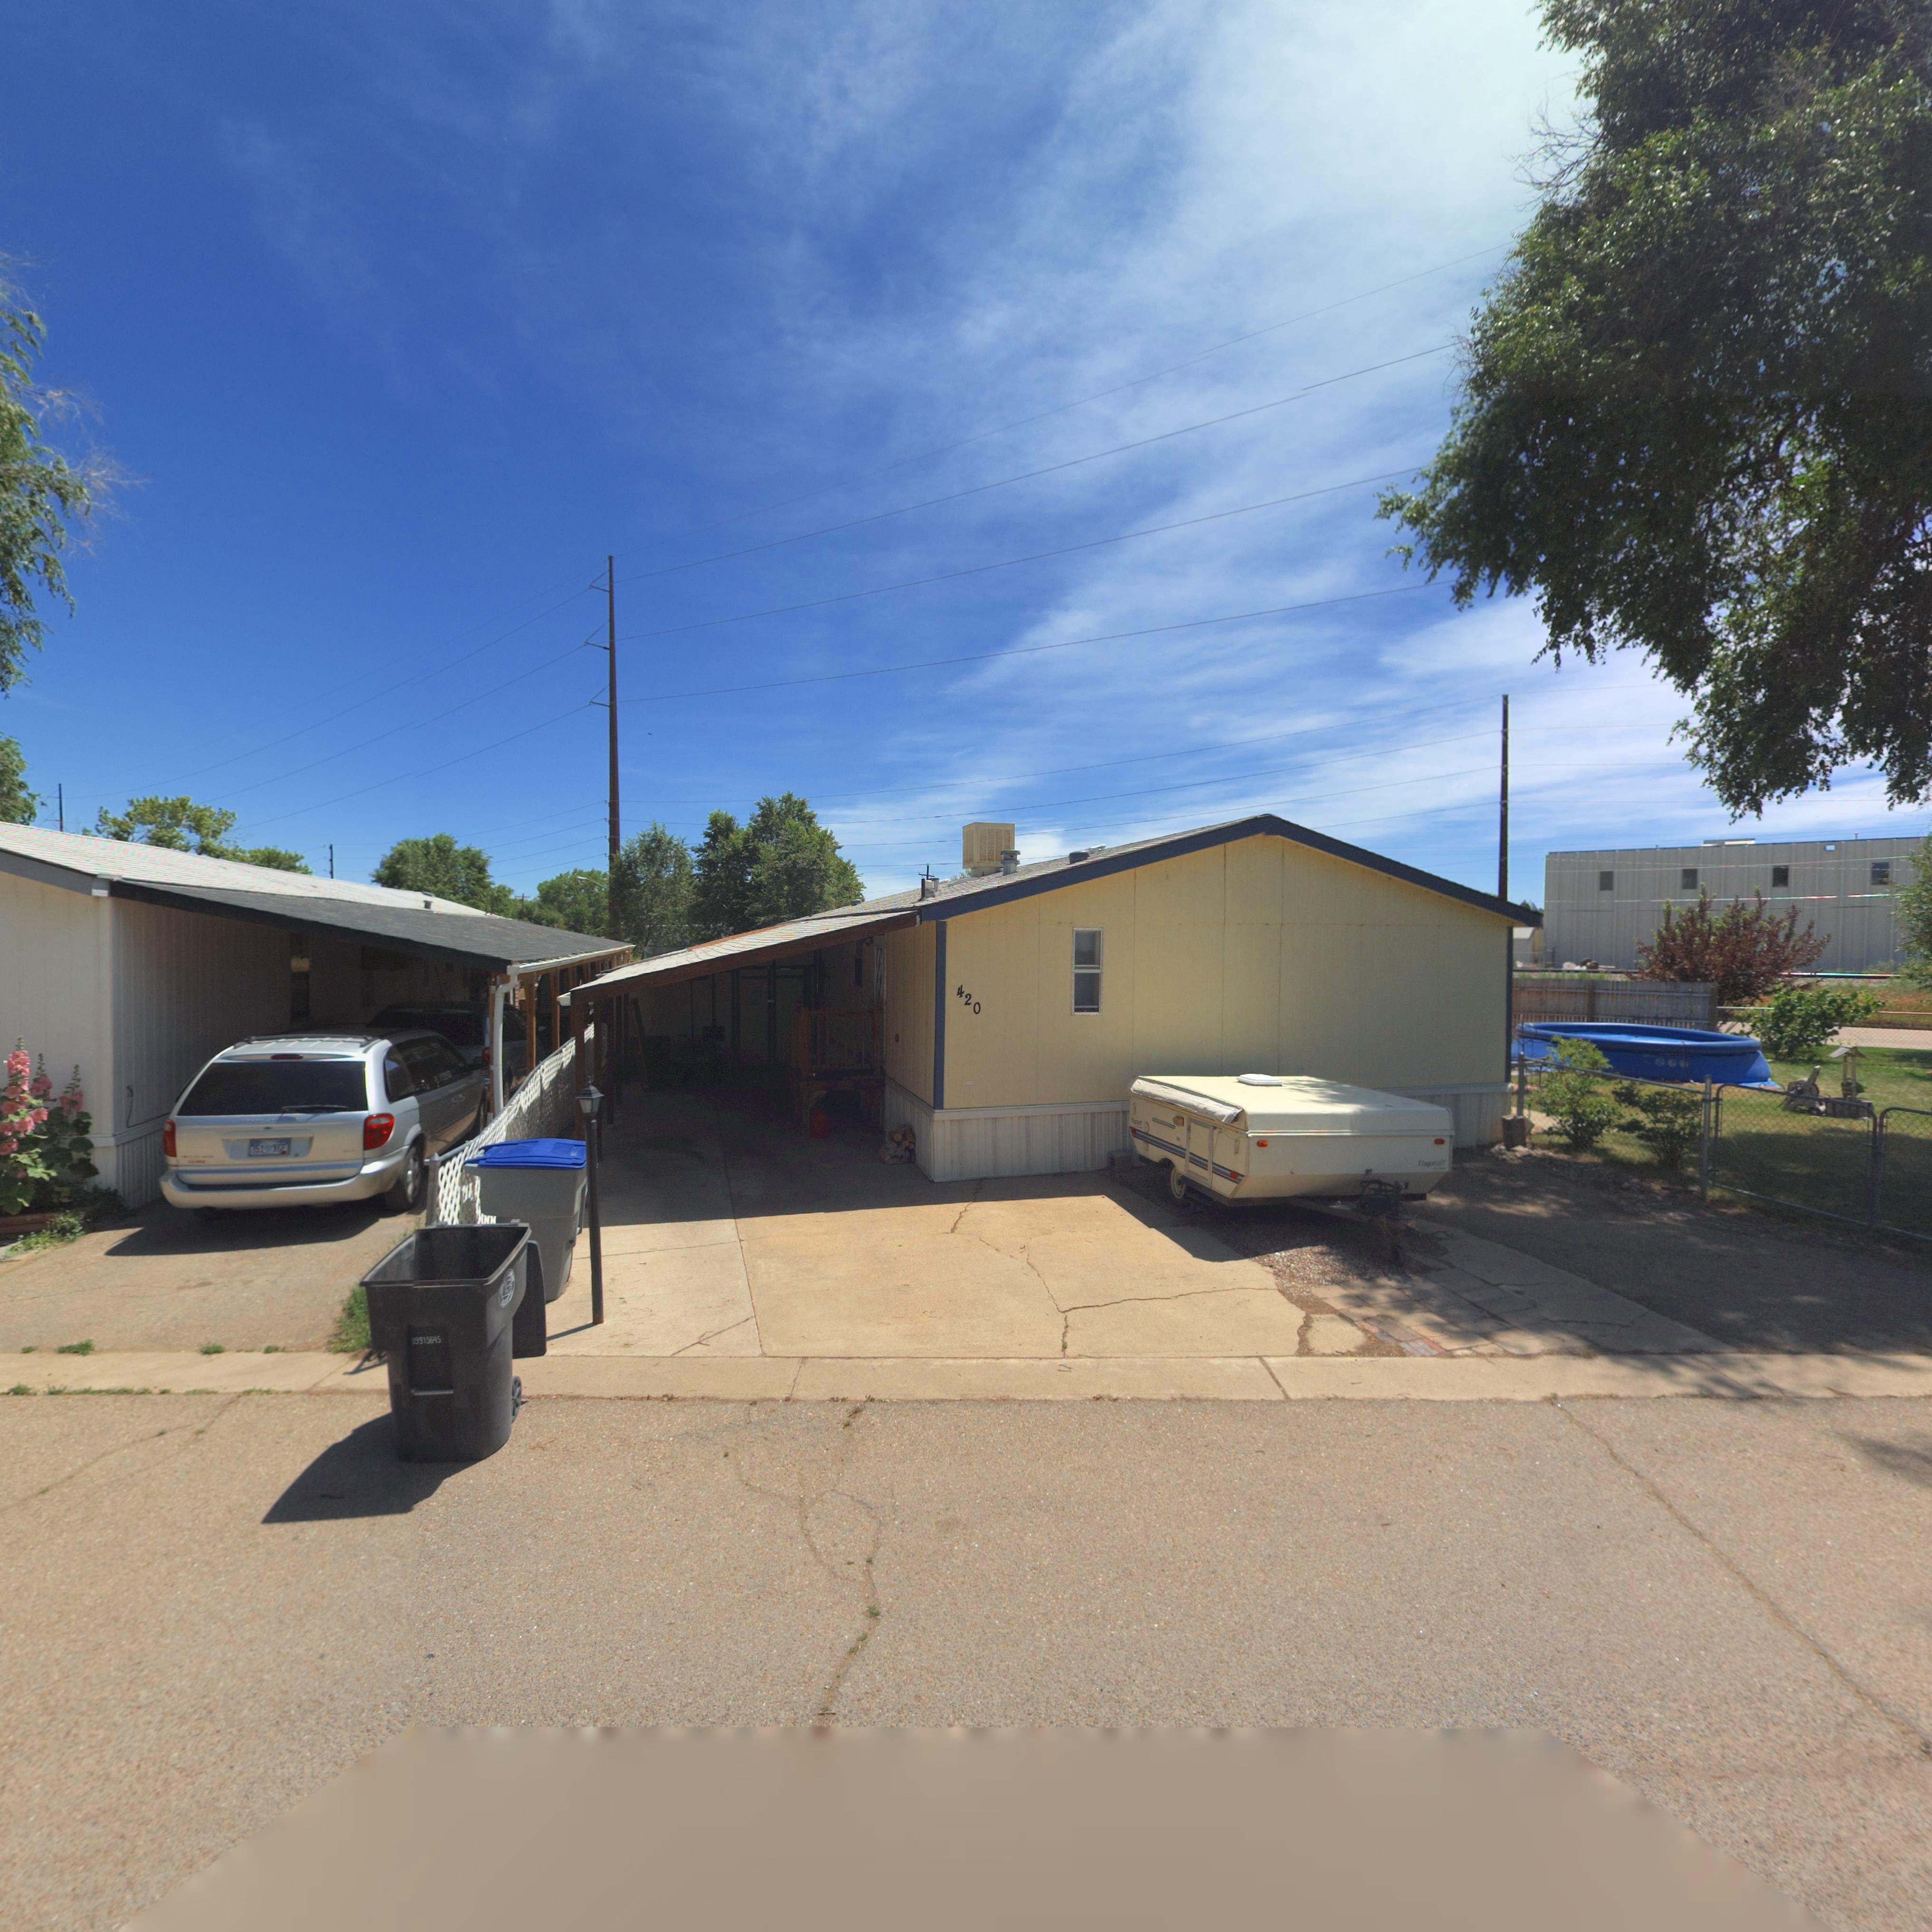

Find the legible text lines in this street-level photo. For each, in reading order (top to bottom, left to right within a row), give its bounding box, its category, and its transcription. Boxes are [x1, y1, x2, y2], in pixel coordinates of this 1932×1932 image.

[956, 984, 981, 1014] StreetNumber: 420